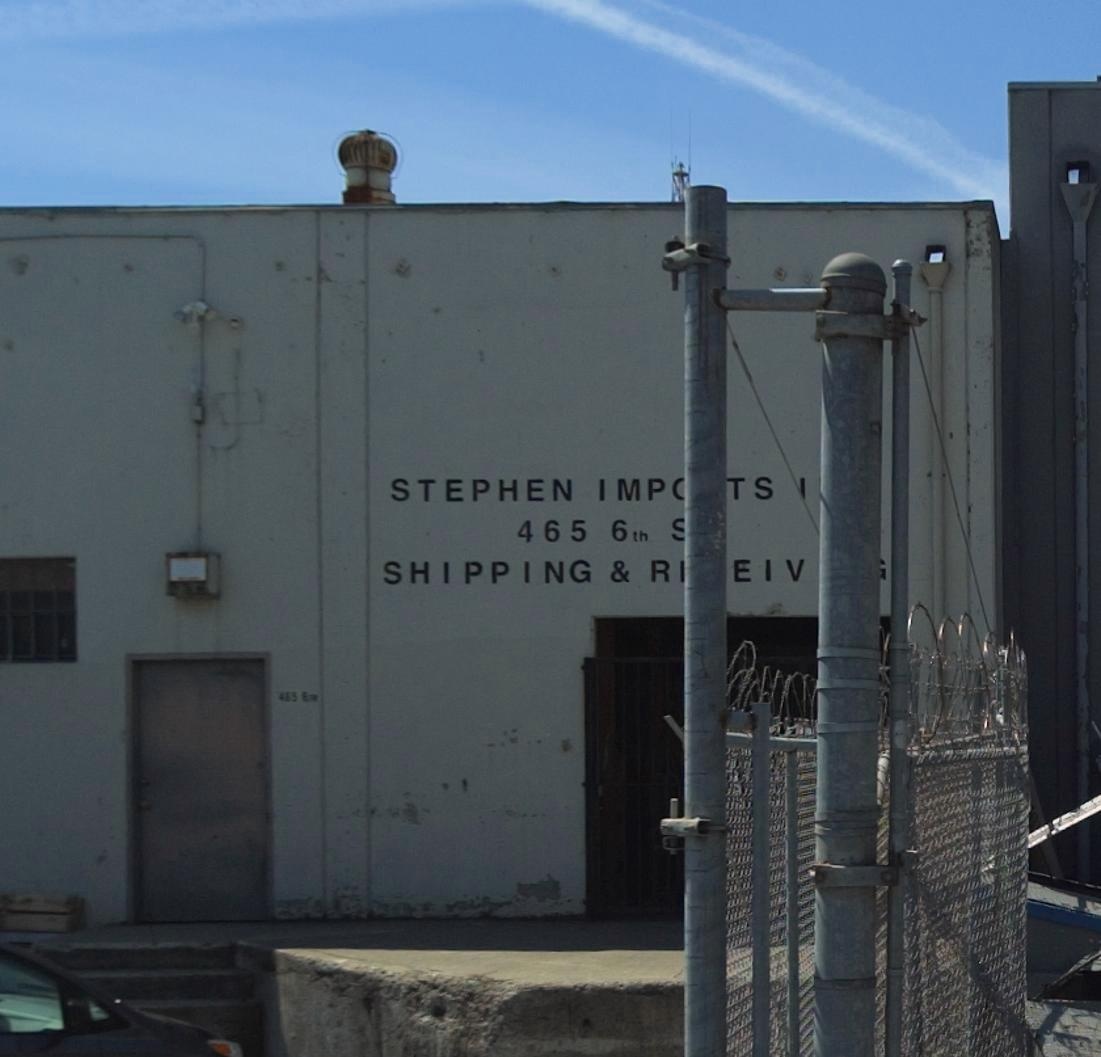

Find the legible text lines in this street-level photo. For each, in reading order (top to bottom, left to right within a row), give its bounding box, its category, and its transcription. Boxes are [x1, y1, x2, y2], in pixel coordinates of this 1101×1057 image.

[390, 476, 666, 503] BusinessName: STEPHEN IMP
[726, 475, 774, 502] None: TS
[517, 520, 587, 545] StreetNumber: 465
[611, 518, 651, 544] StreetName: 6TH
[382, 558, 671, 586] None: SHIPPING & R
[732, 557, 808, 583] None: EIV
[277, 690, 320, 703] None: 465 6TH]